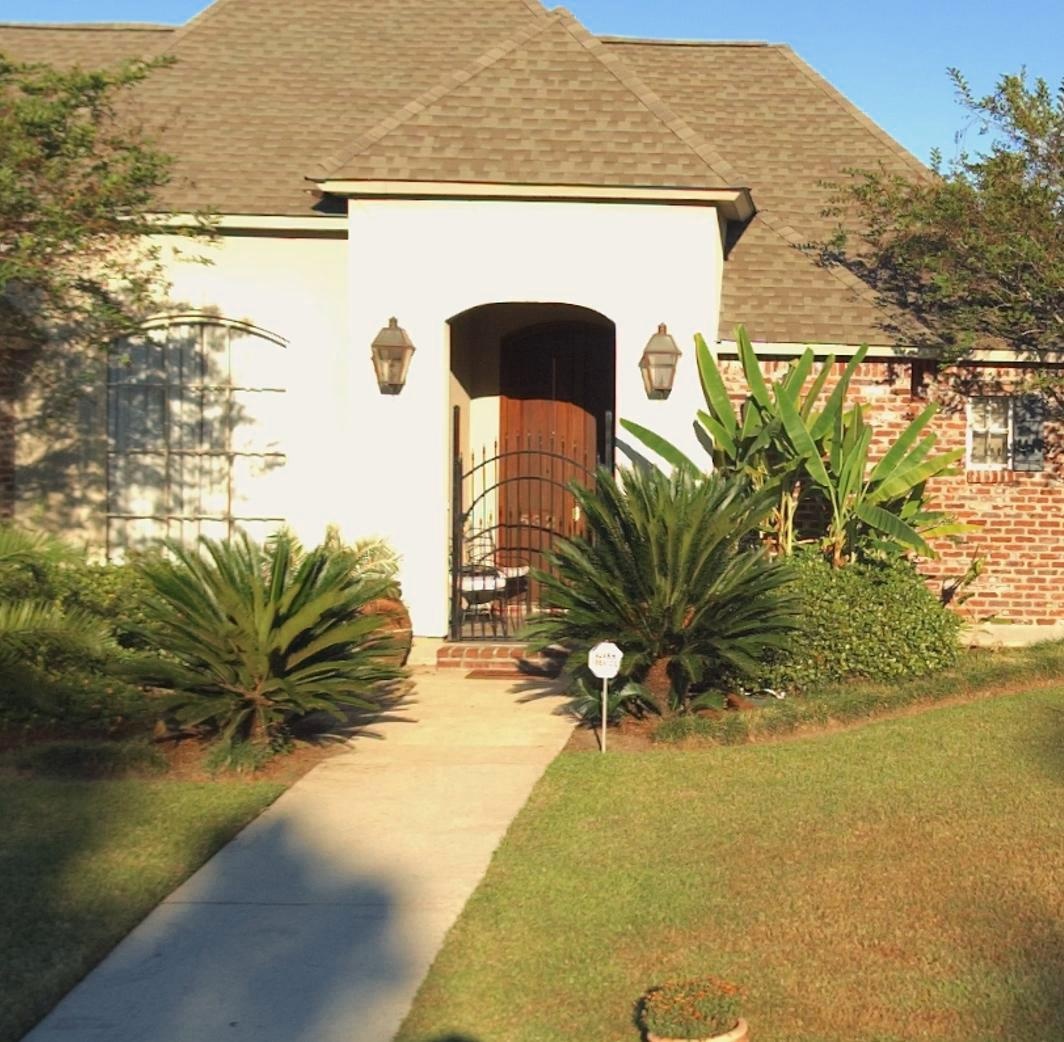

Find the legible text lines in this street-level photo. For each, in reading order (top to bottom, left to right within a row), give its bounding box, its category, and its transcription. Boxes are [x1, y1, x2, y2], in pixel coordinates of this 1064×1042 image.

[519, 513, 556, 530] StreetNumber: 532